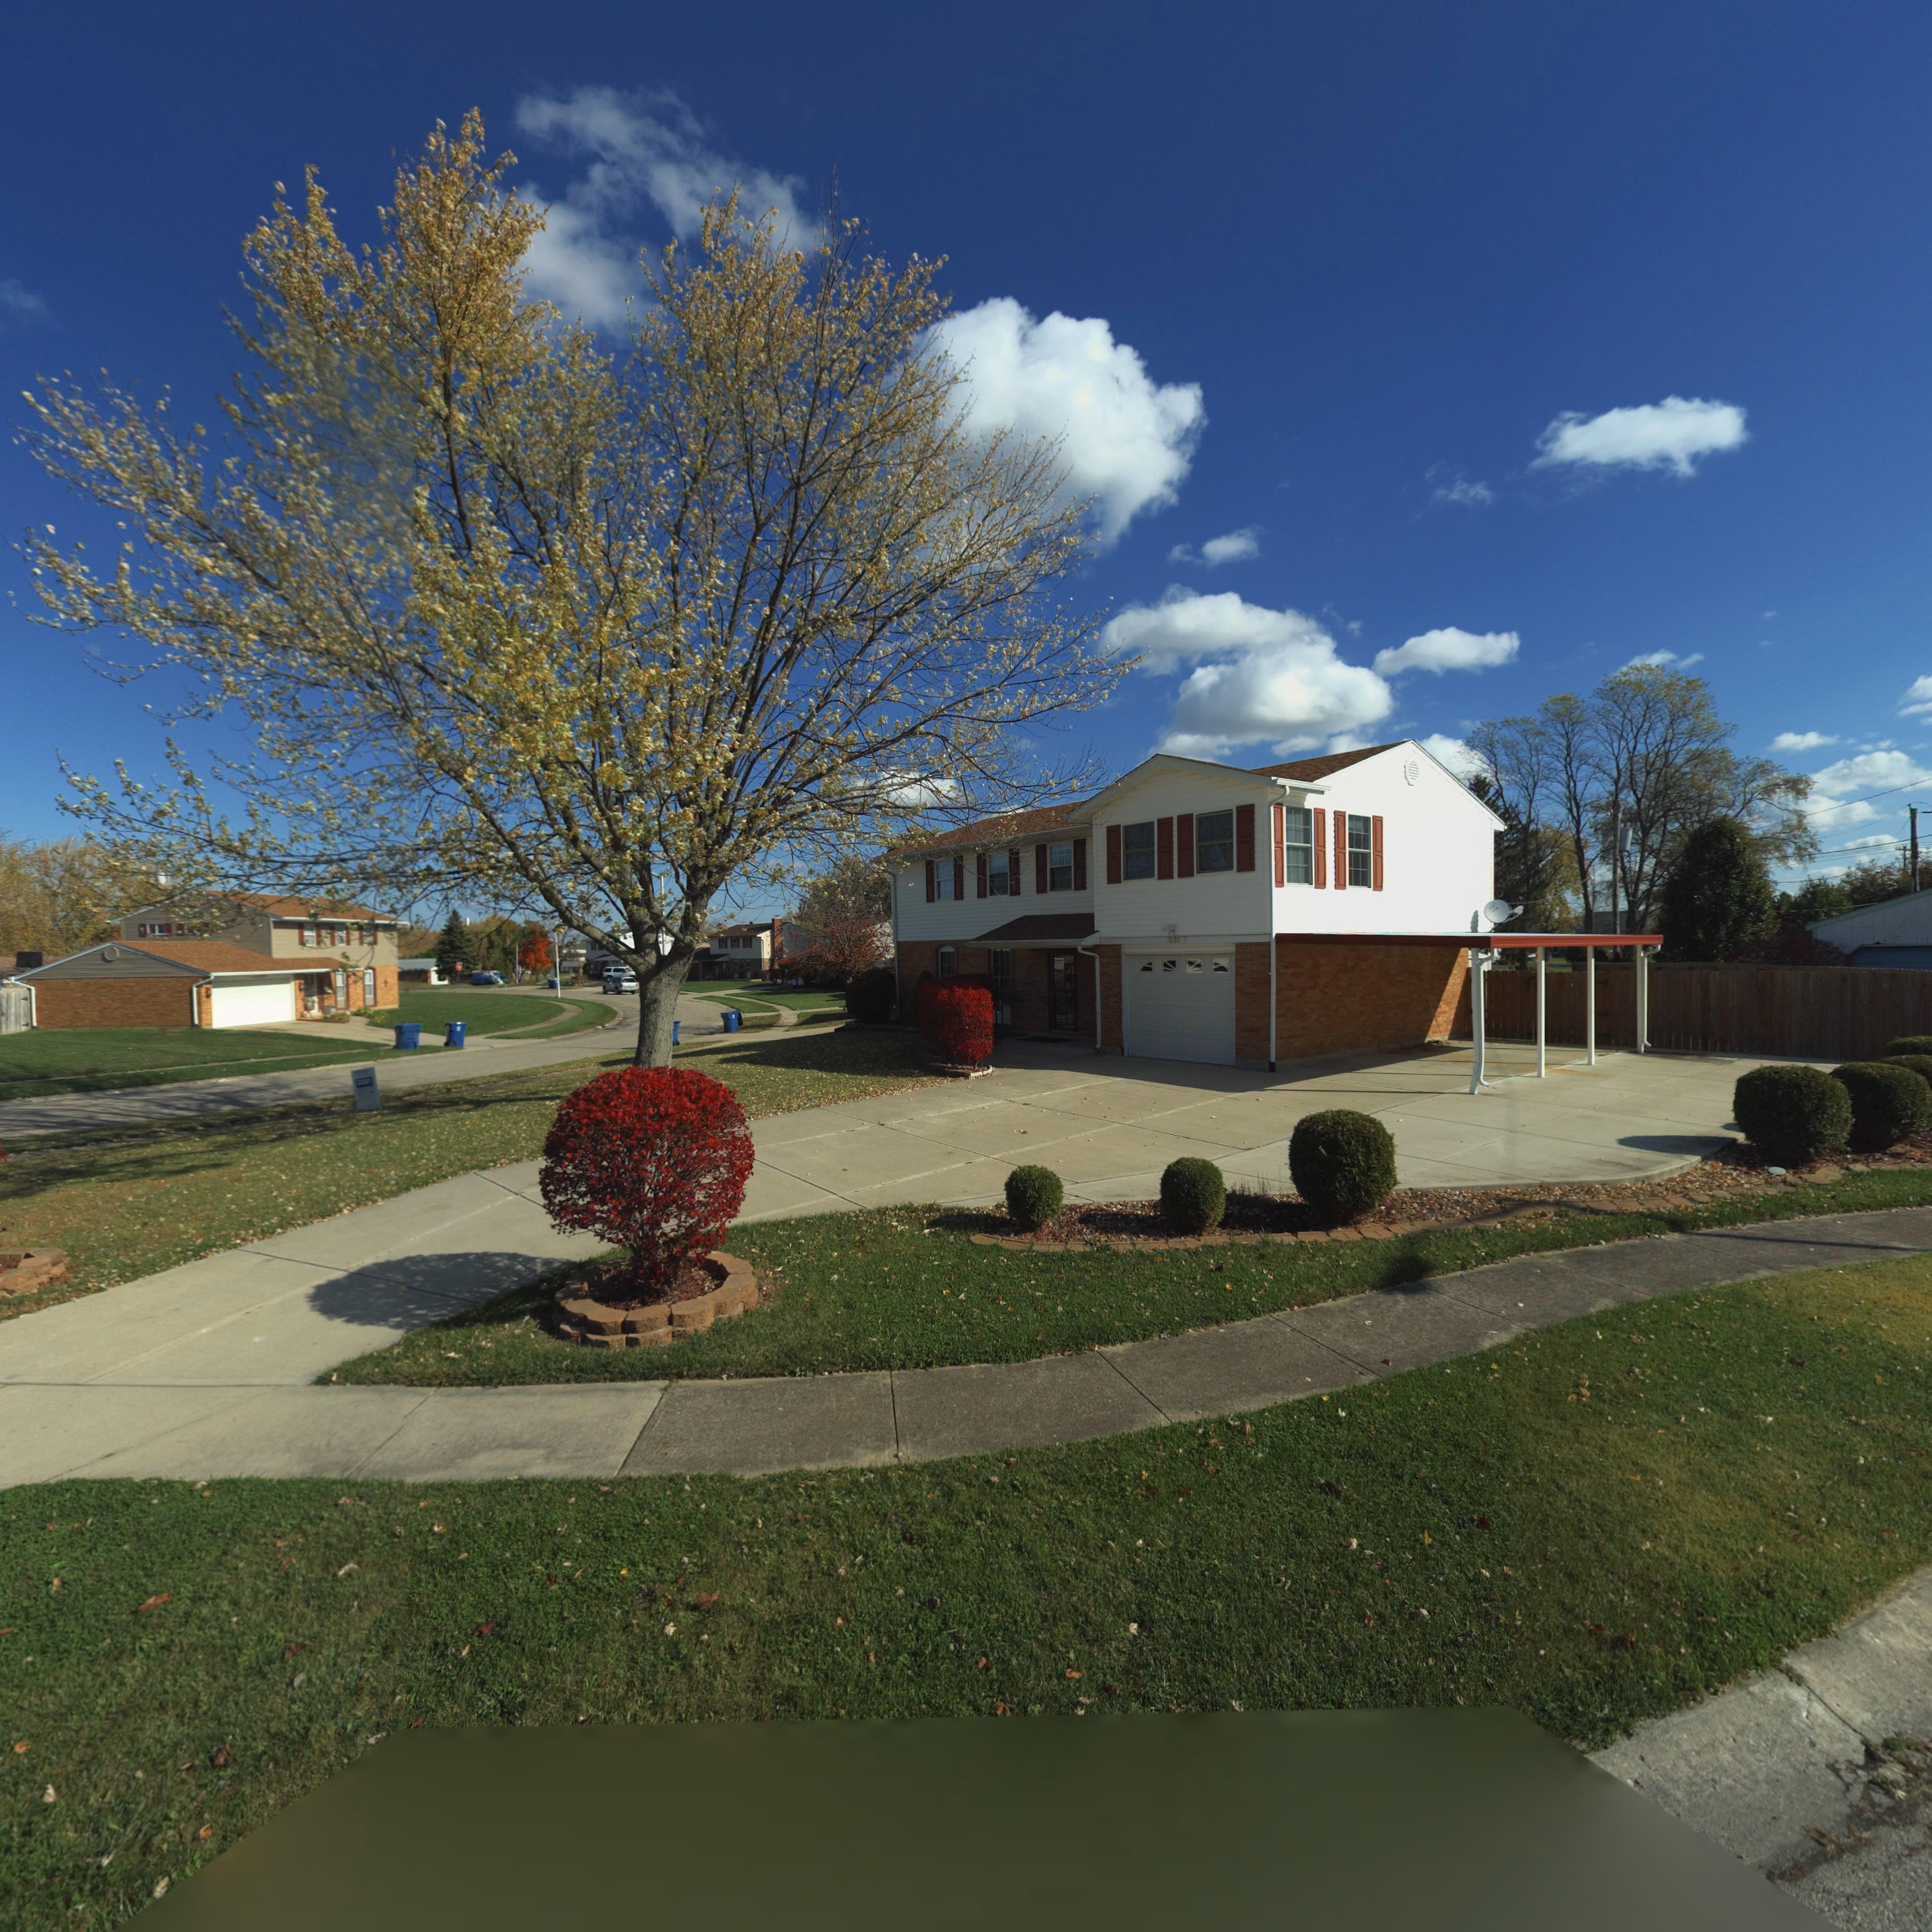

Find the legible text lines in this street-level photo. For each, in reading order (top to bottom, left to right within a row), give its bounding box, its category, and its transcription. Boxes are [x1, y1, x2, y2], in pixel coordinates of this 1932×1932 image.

[1166, 936, 1181, 944] StreetNumber: 7620